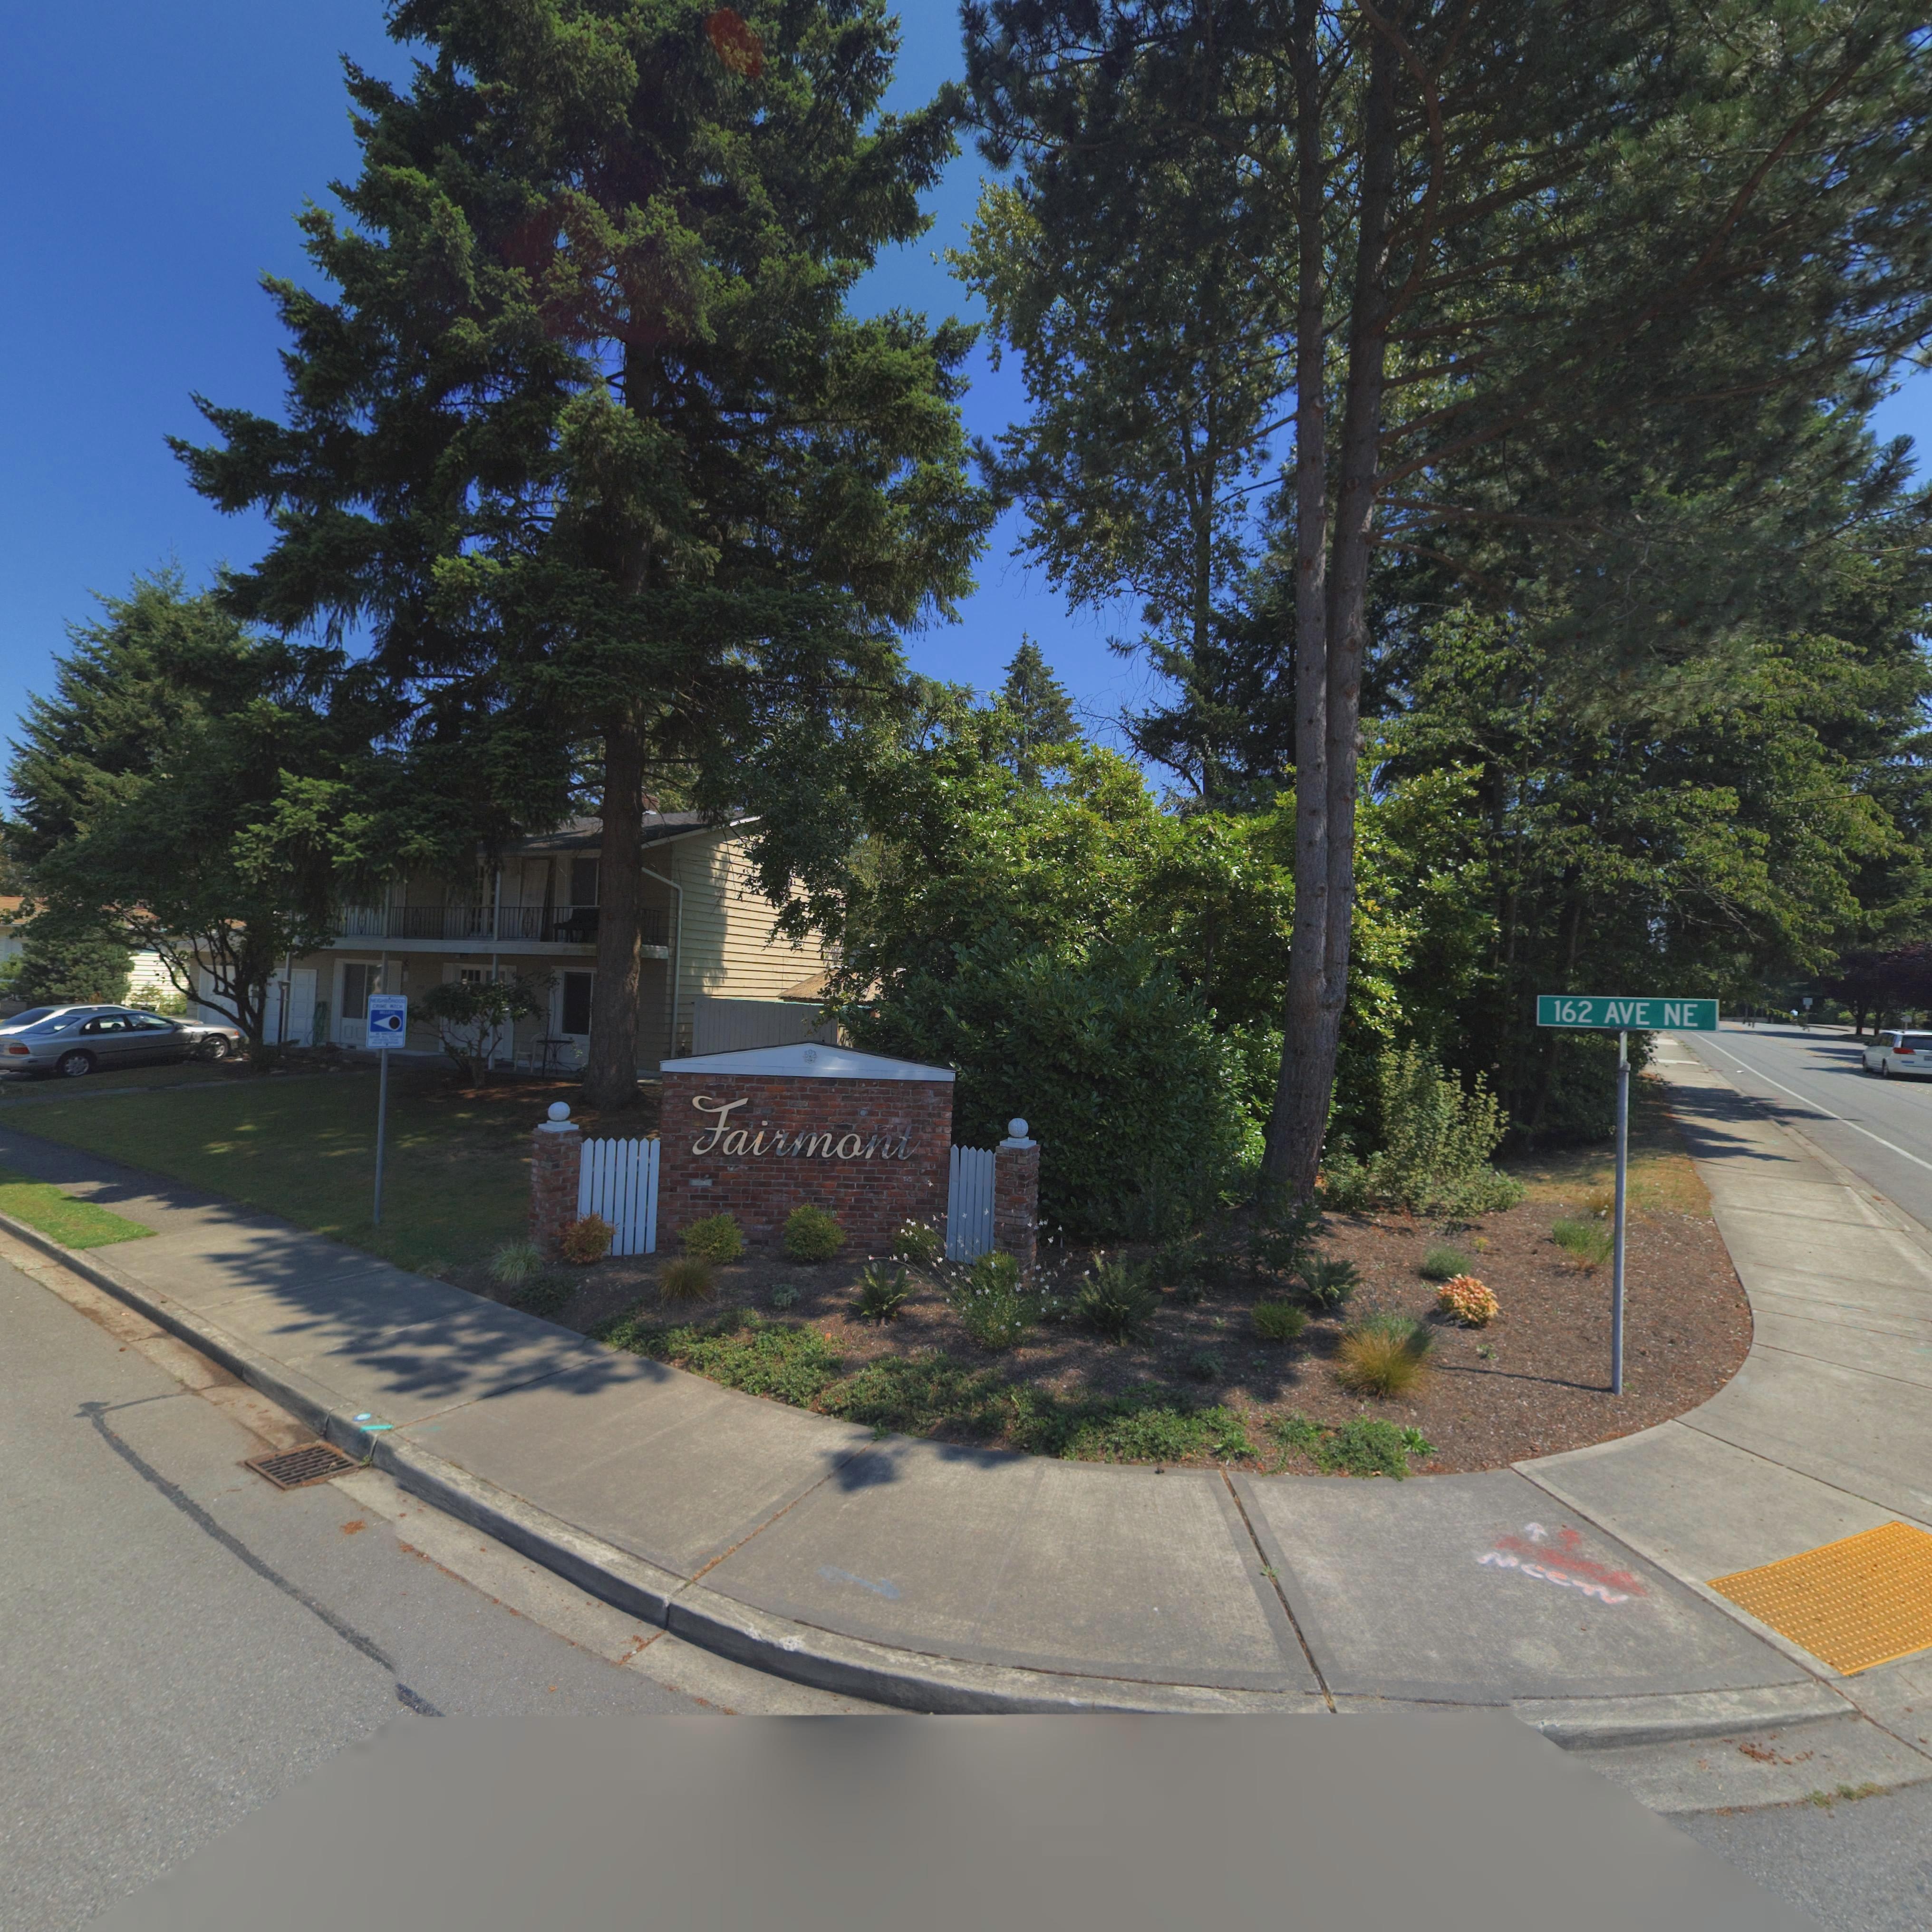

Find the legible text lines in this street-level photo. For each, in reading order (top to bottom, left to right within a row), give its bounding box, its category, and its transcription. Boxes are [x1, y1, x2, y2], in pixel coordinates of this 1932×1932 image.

[1554, 1000, 1698, 1026] StreetName: 162 AVE NE